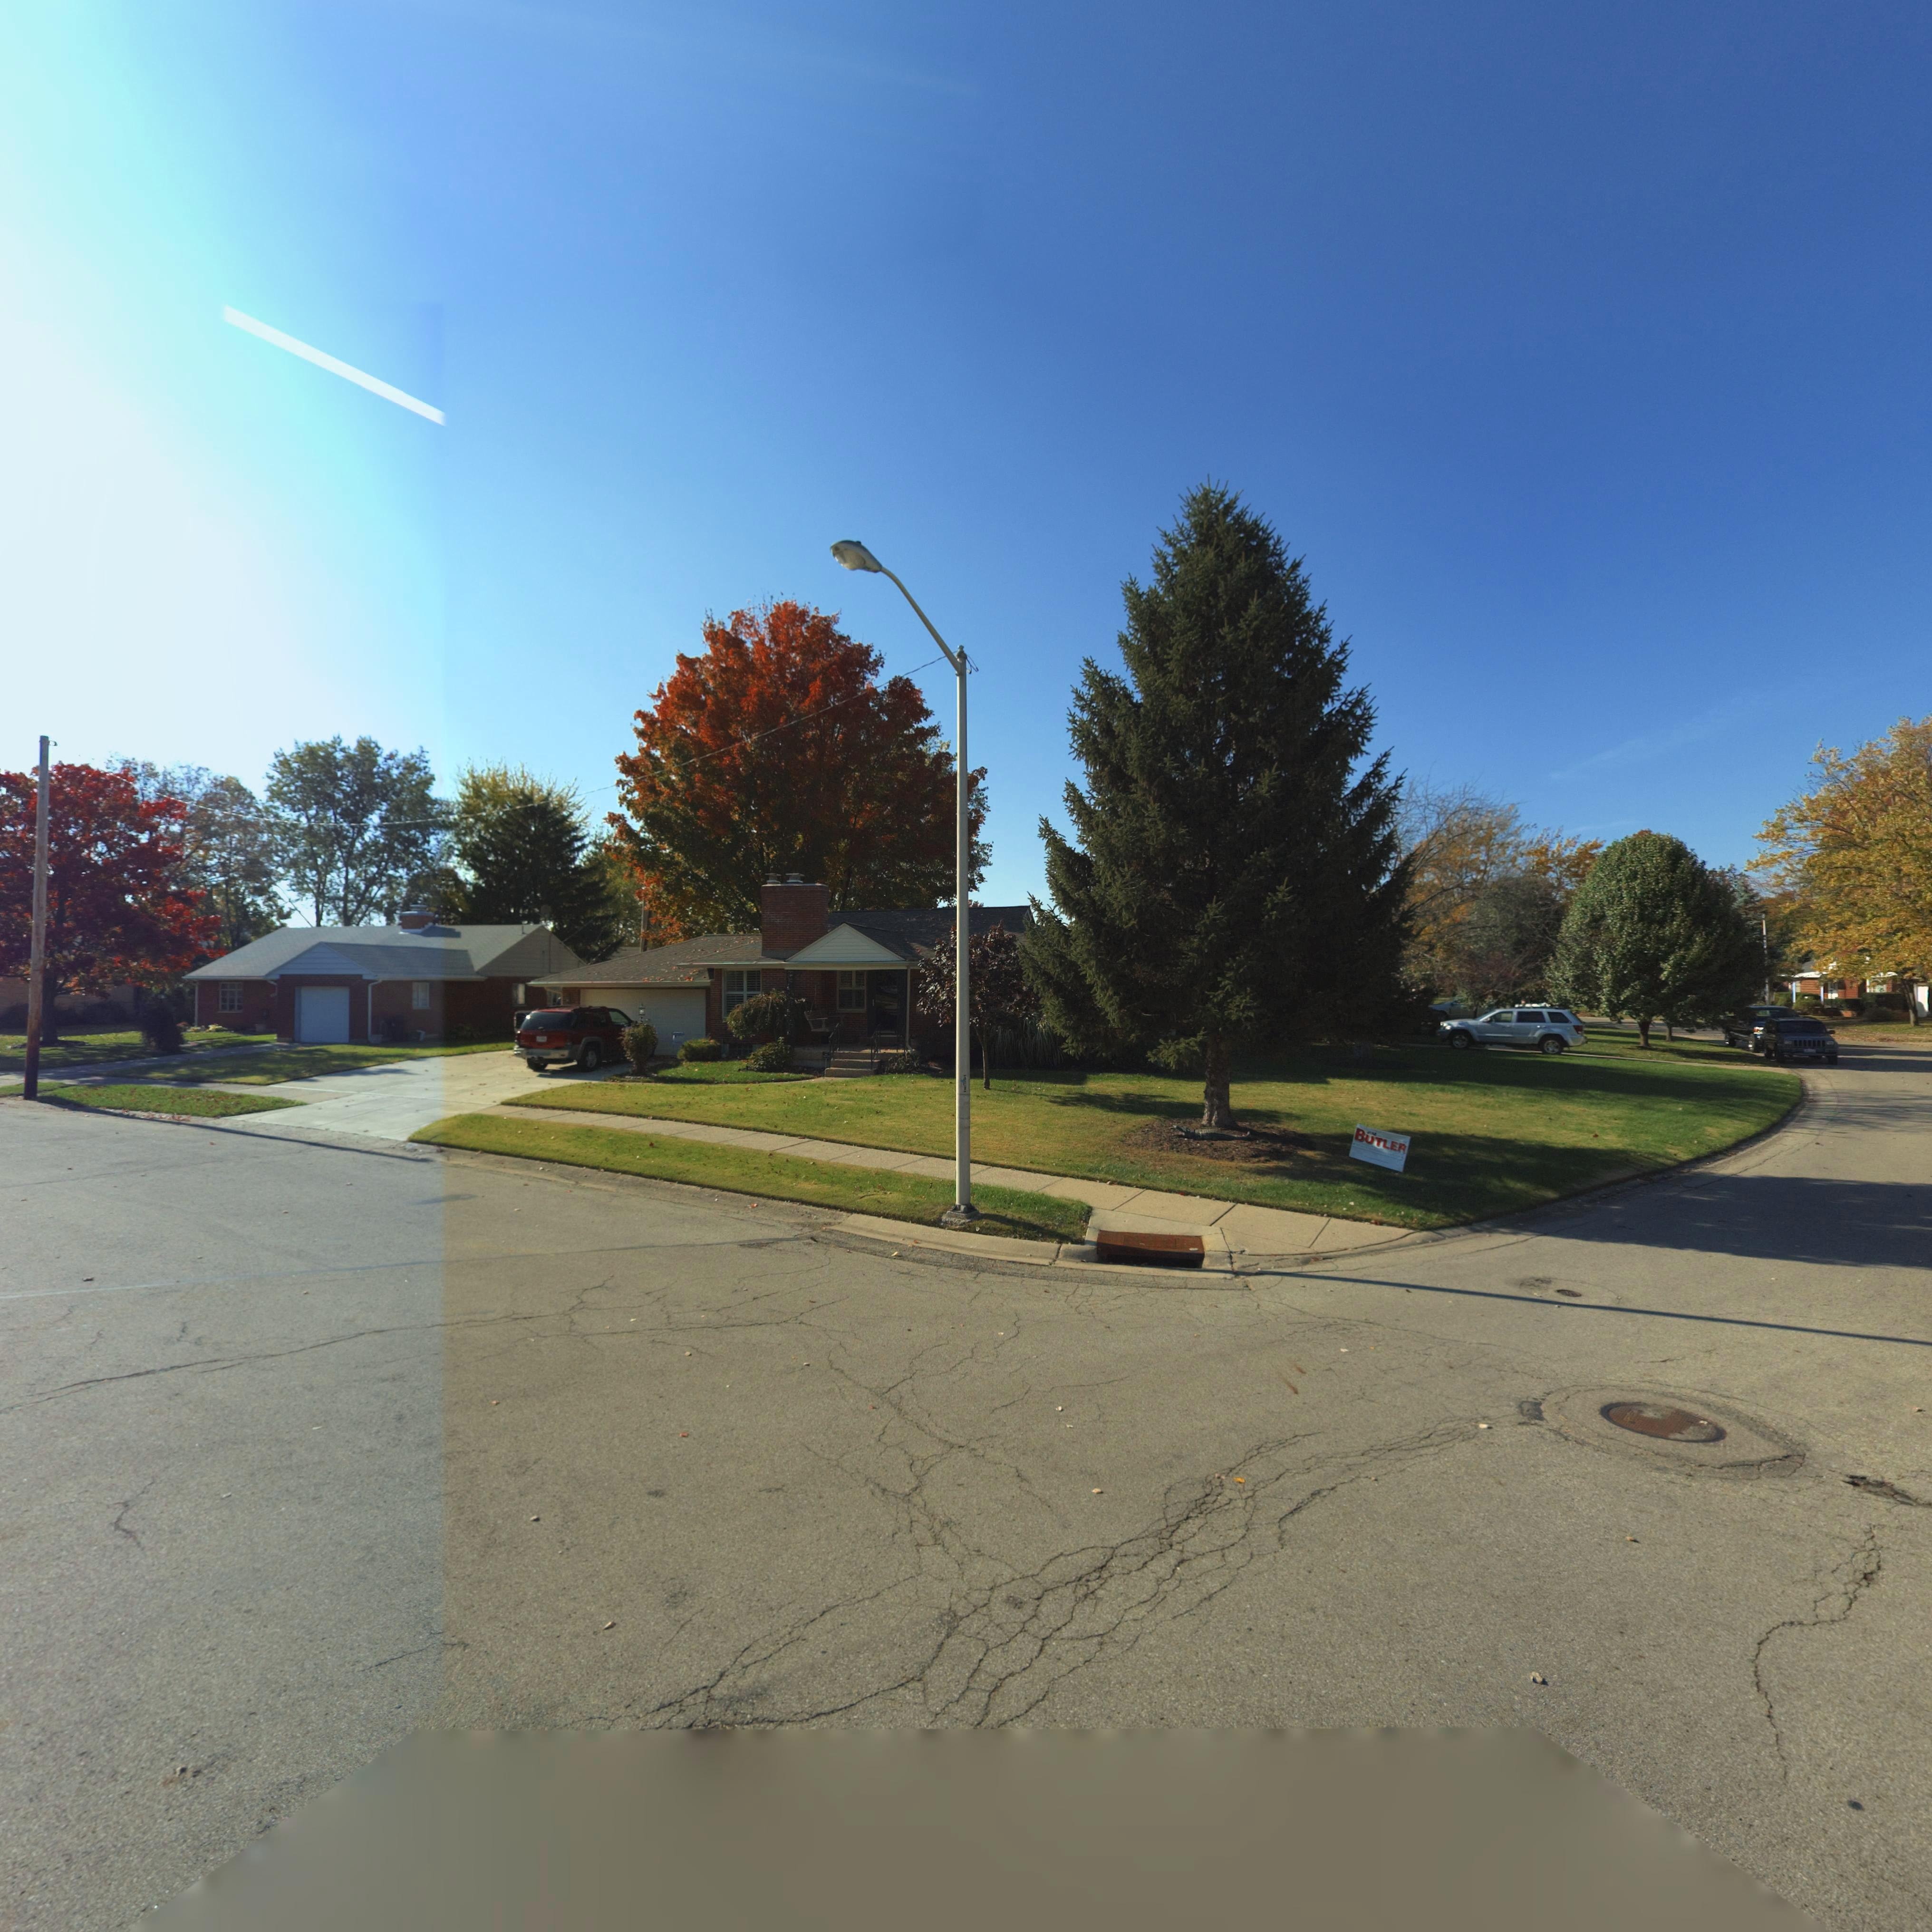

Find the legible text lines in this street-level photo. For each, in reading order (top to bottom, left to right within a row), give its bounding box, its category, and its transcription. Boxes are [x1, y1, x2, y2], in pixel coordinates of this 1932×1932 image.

[913, 979, 924, 984] StreetNumber: 370*
[1366, 1130, 1377, 1137] None: J*M
[1353, 1127, 1407, 1155] None: BUTLER